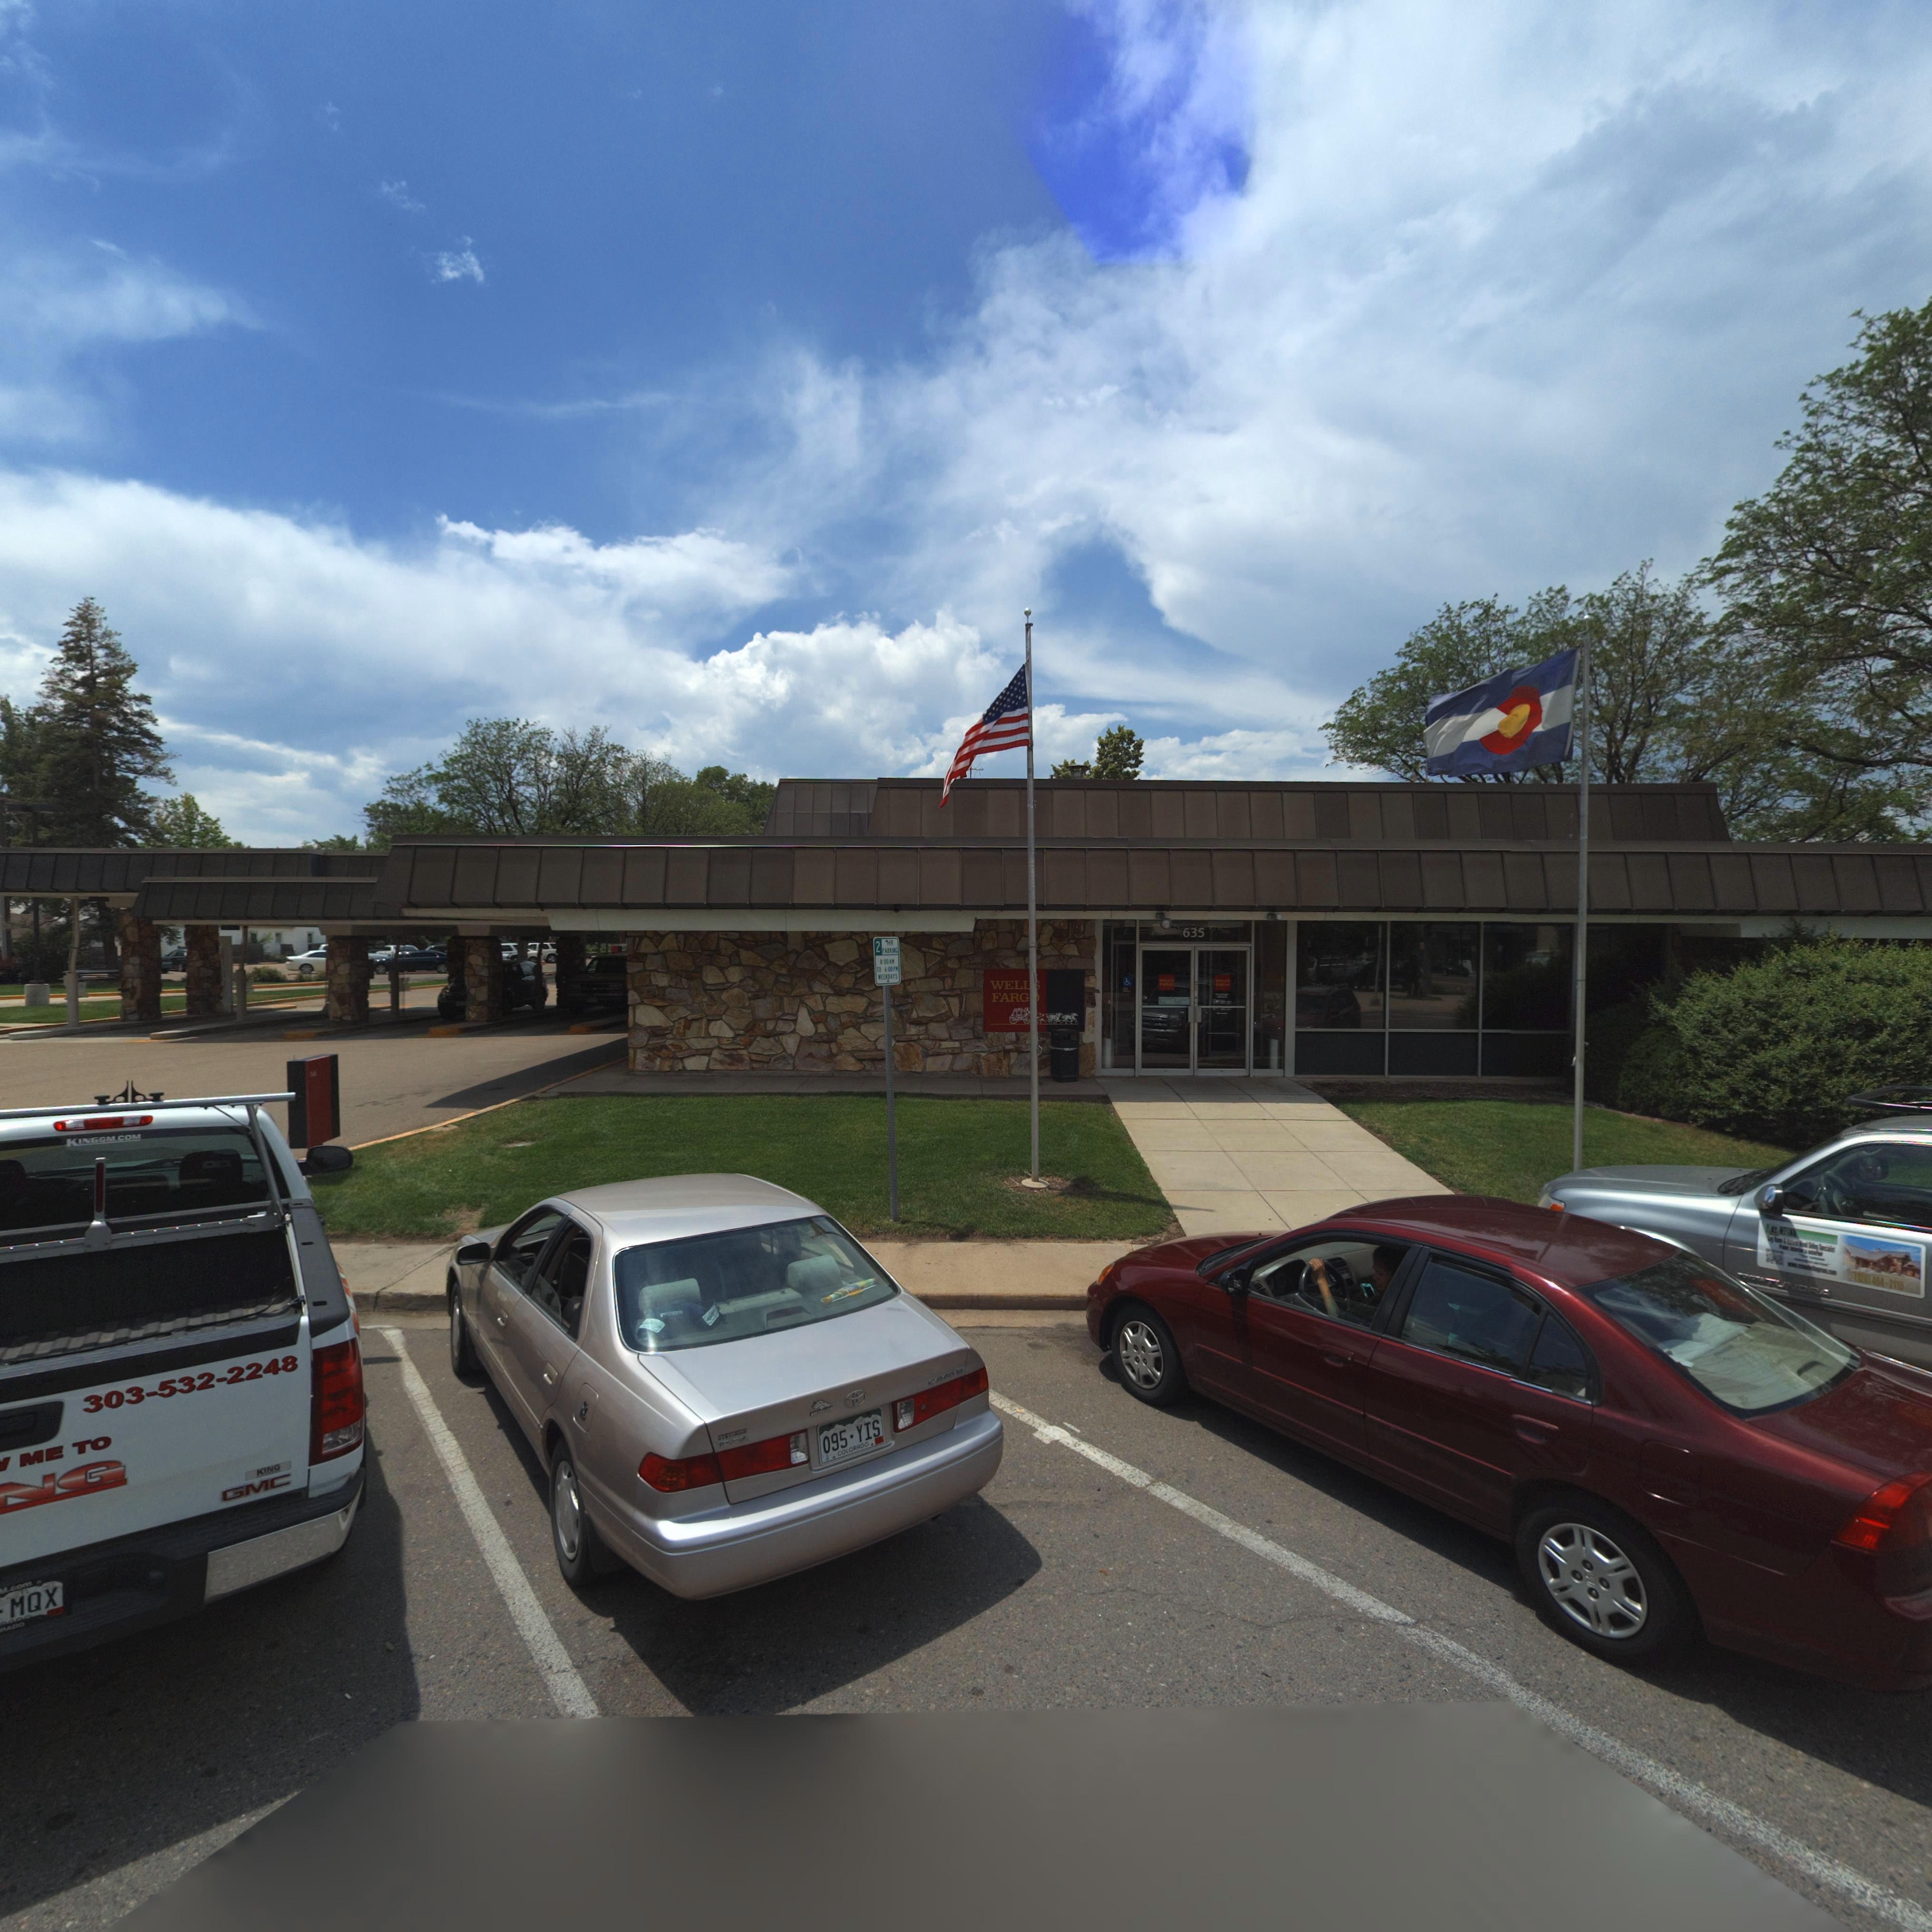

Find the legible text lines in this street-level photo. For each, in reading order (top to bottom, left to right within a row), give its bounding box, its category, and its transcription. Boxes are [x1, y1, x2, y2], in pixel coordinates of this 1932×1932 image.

[1182, 927, 1205, 939] StreetNumber: 635
[1159, 979, 1173, 982] BusinessName: **LL*
[1215, 979, 1230, 982] BusinessName: ***L*
[990, 980, 1041, 991] BusinessName: WELLS
[1159, 983, 1173, 986] BusinessName: *A***
[1215, 983, 1230, 986] BusinessName: ****O
[991, 992, 1040, 1002] BusinessName: FARGO